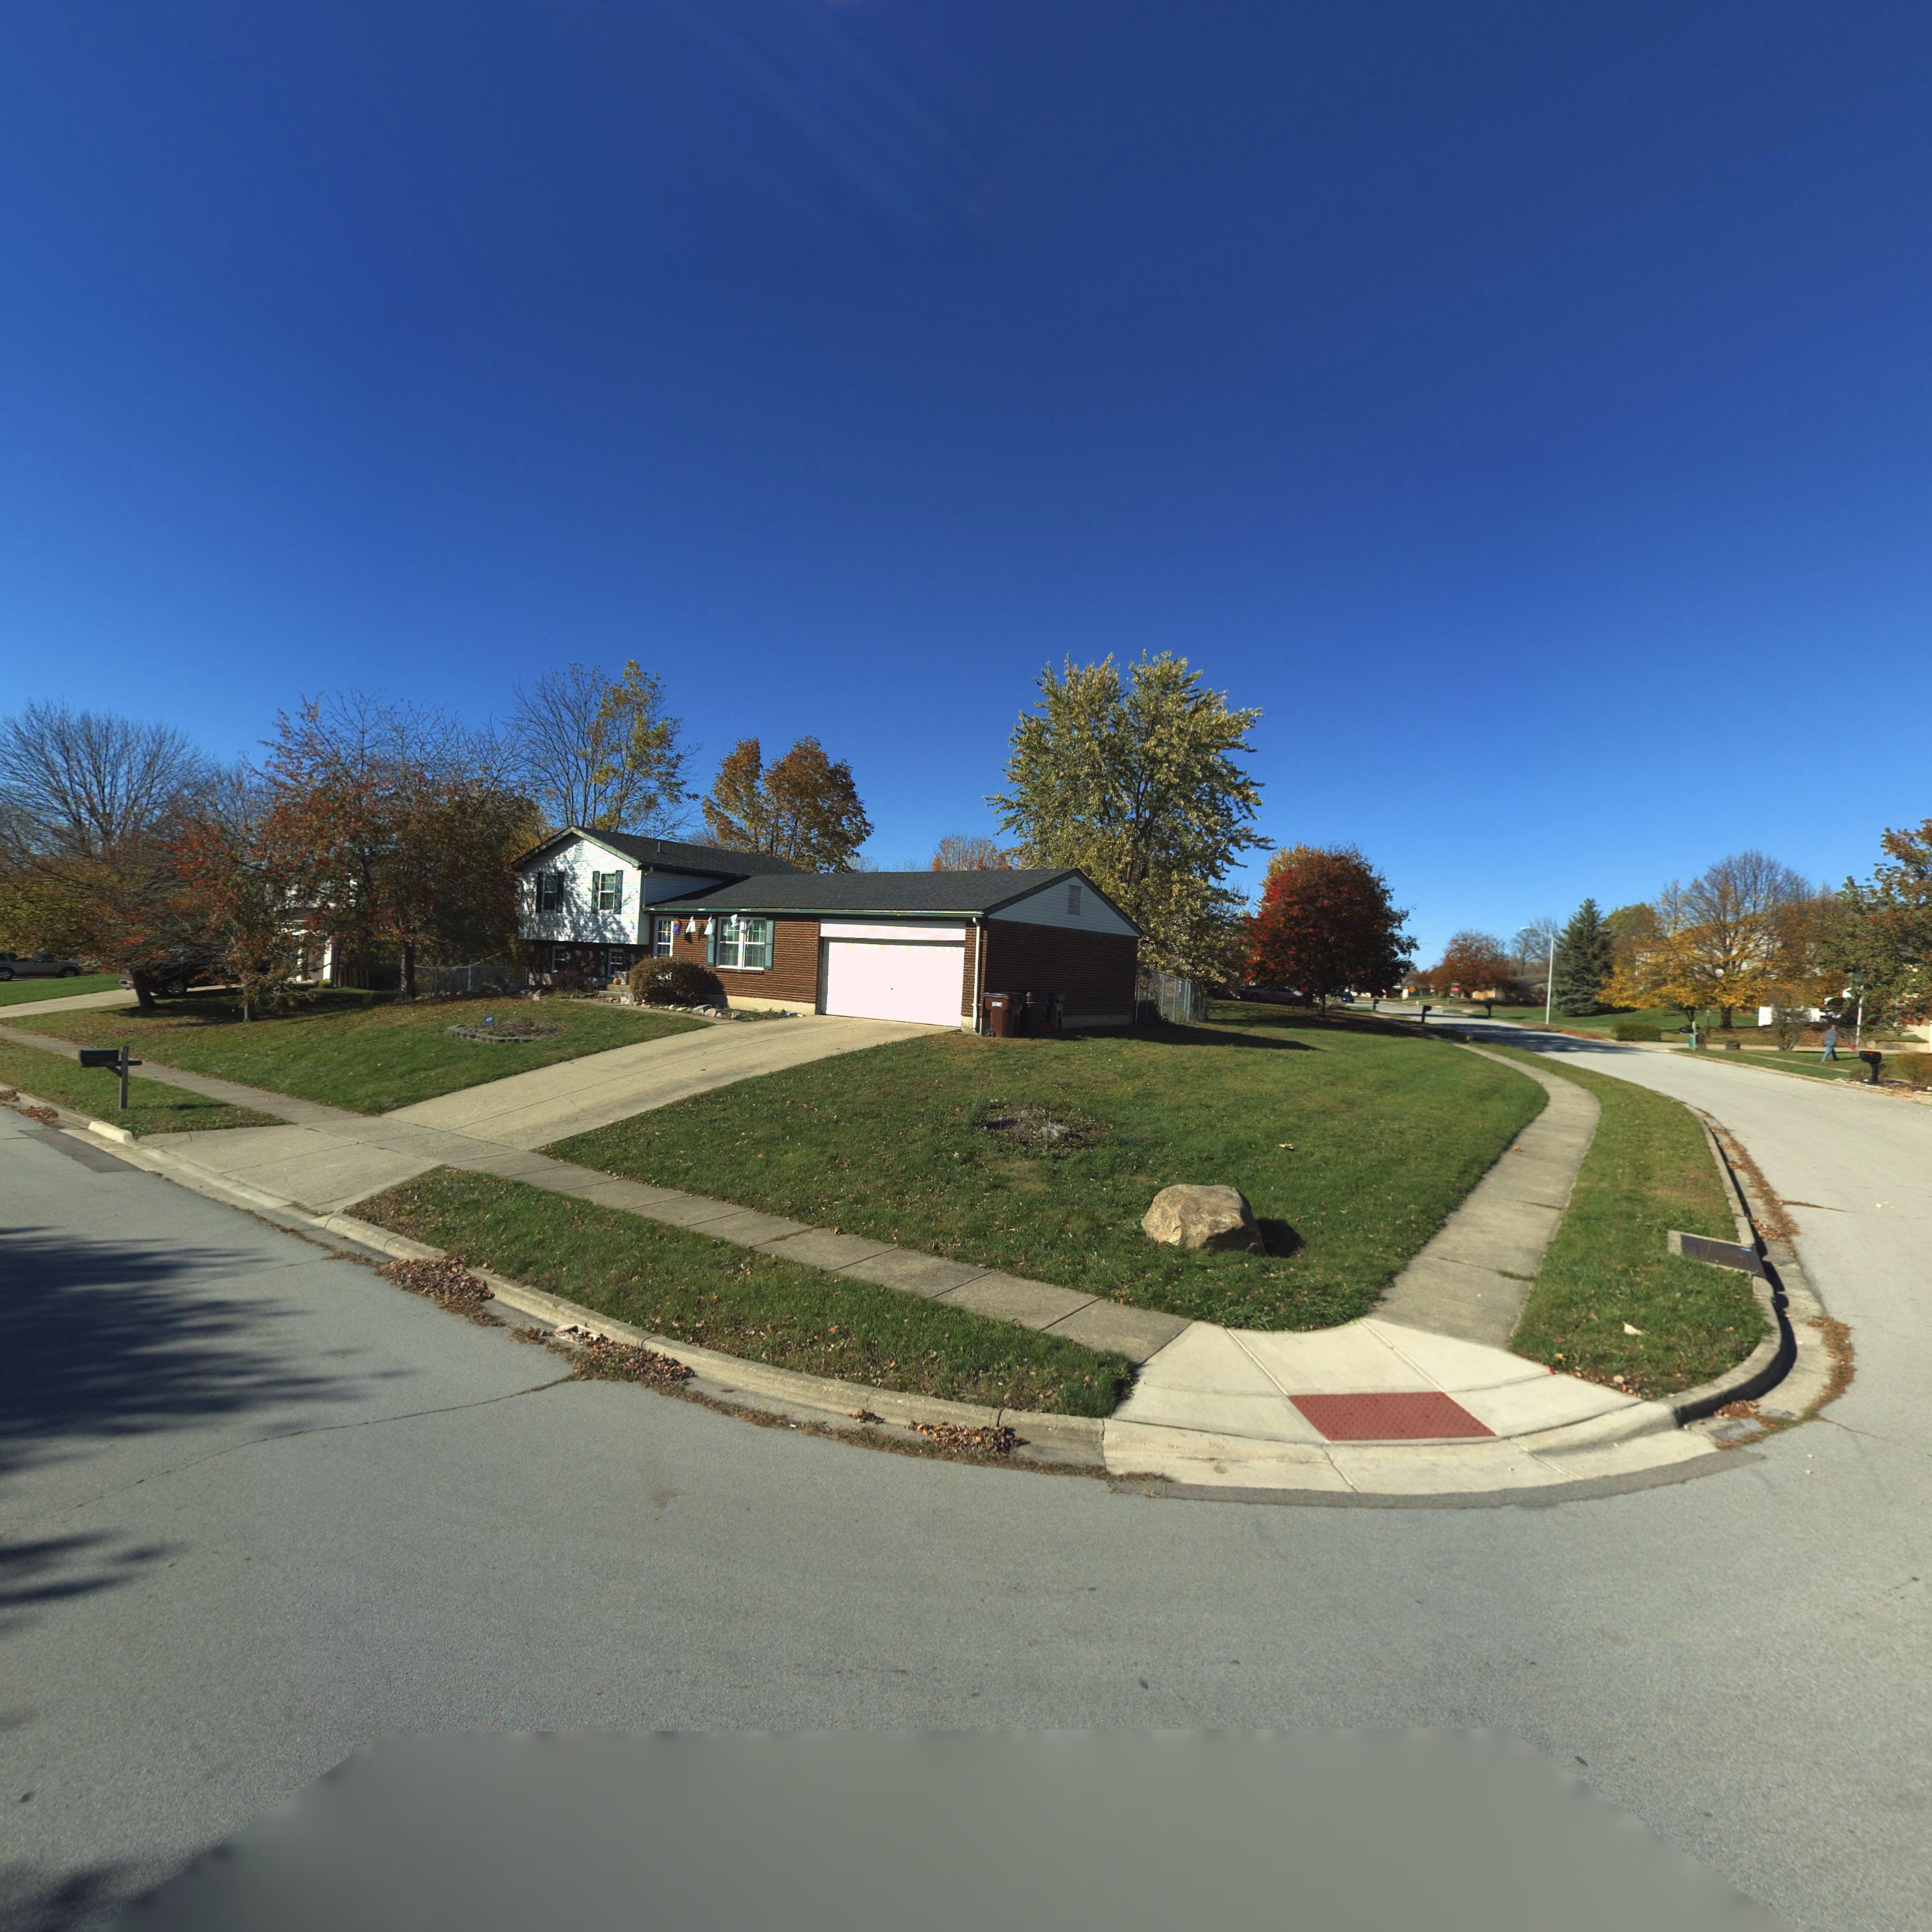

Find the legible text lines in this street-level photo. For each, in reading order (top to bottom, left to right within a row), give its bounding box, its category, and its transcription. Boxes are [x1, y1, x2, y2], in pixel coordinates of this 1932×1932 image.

[122, 1046, 129, 1077] StreetNumber: 4201